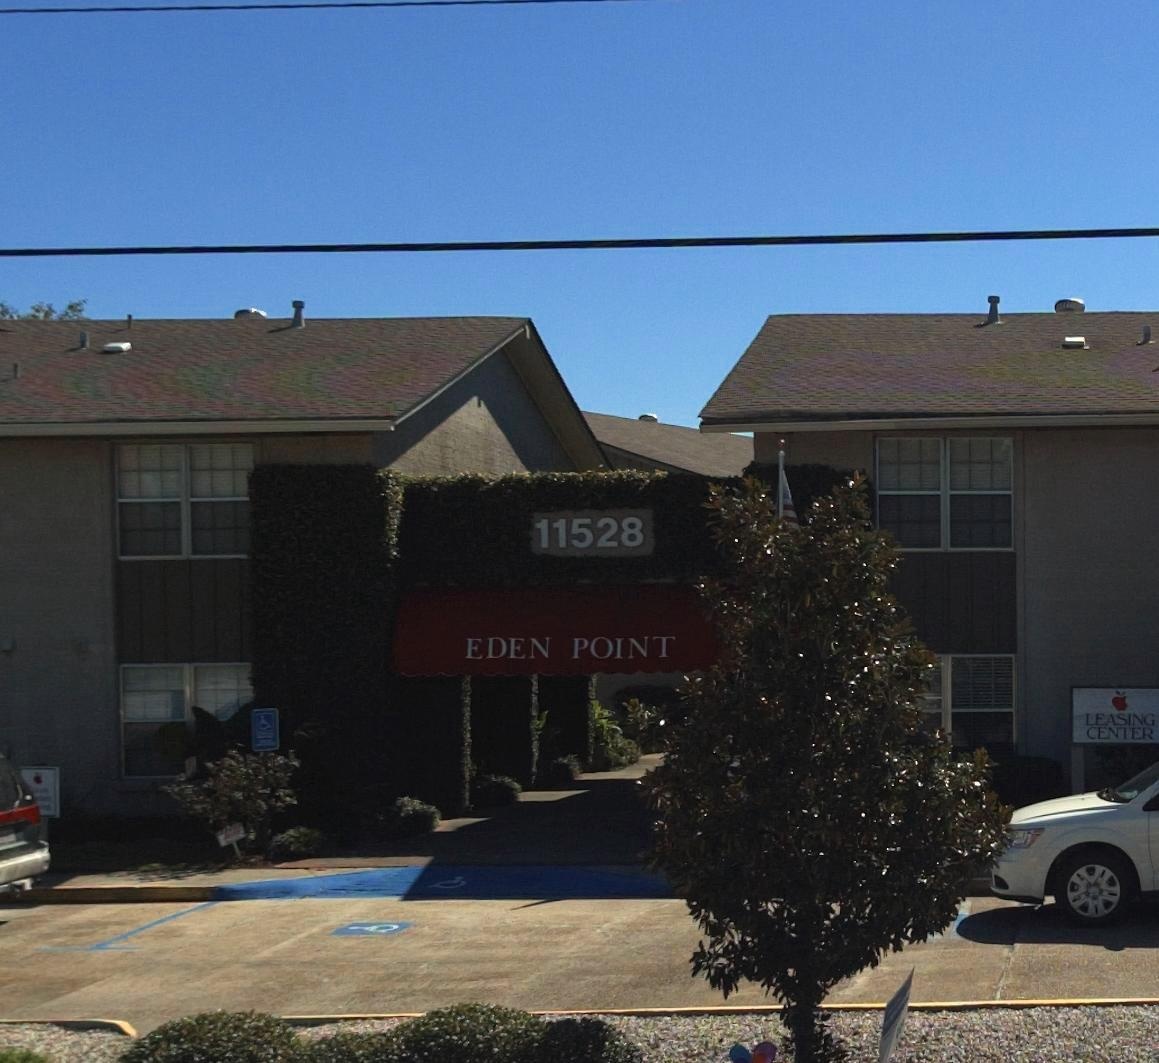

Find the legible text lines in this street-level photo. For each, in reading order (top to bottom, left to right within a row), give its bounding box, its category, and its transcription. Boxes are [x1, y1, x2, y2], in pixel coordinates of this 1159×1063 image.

[534, 516, 644, 549] StreetNumber: 11528
[463, 634, 678, 660] BusinessName: EDEN POINT
[1085, 712, 1155, 727] None: LEASING
[1086, 727, 1154, 740] None: CENTER